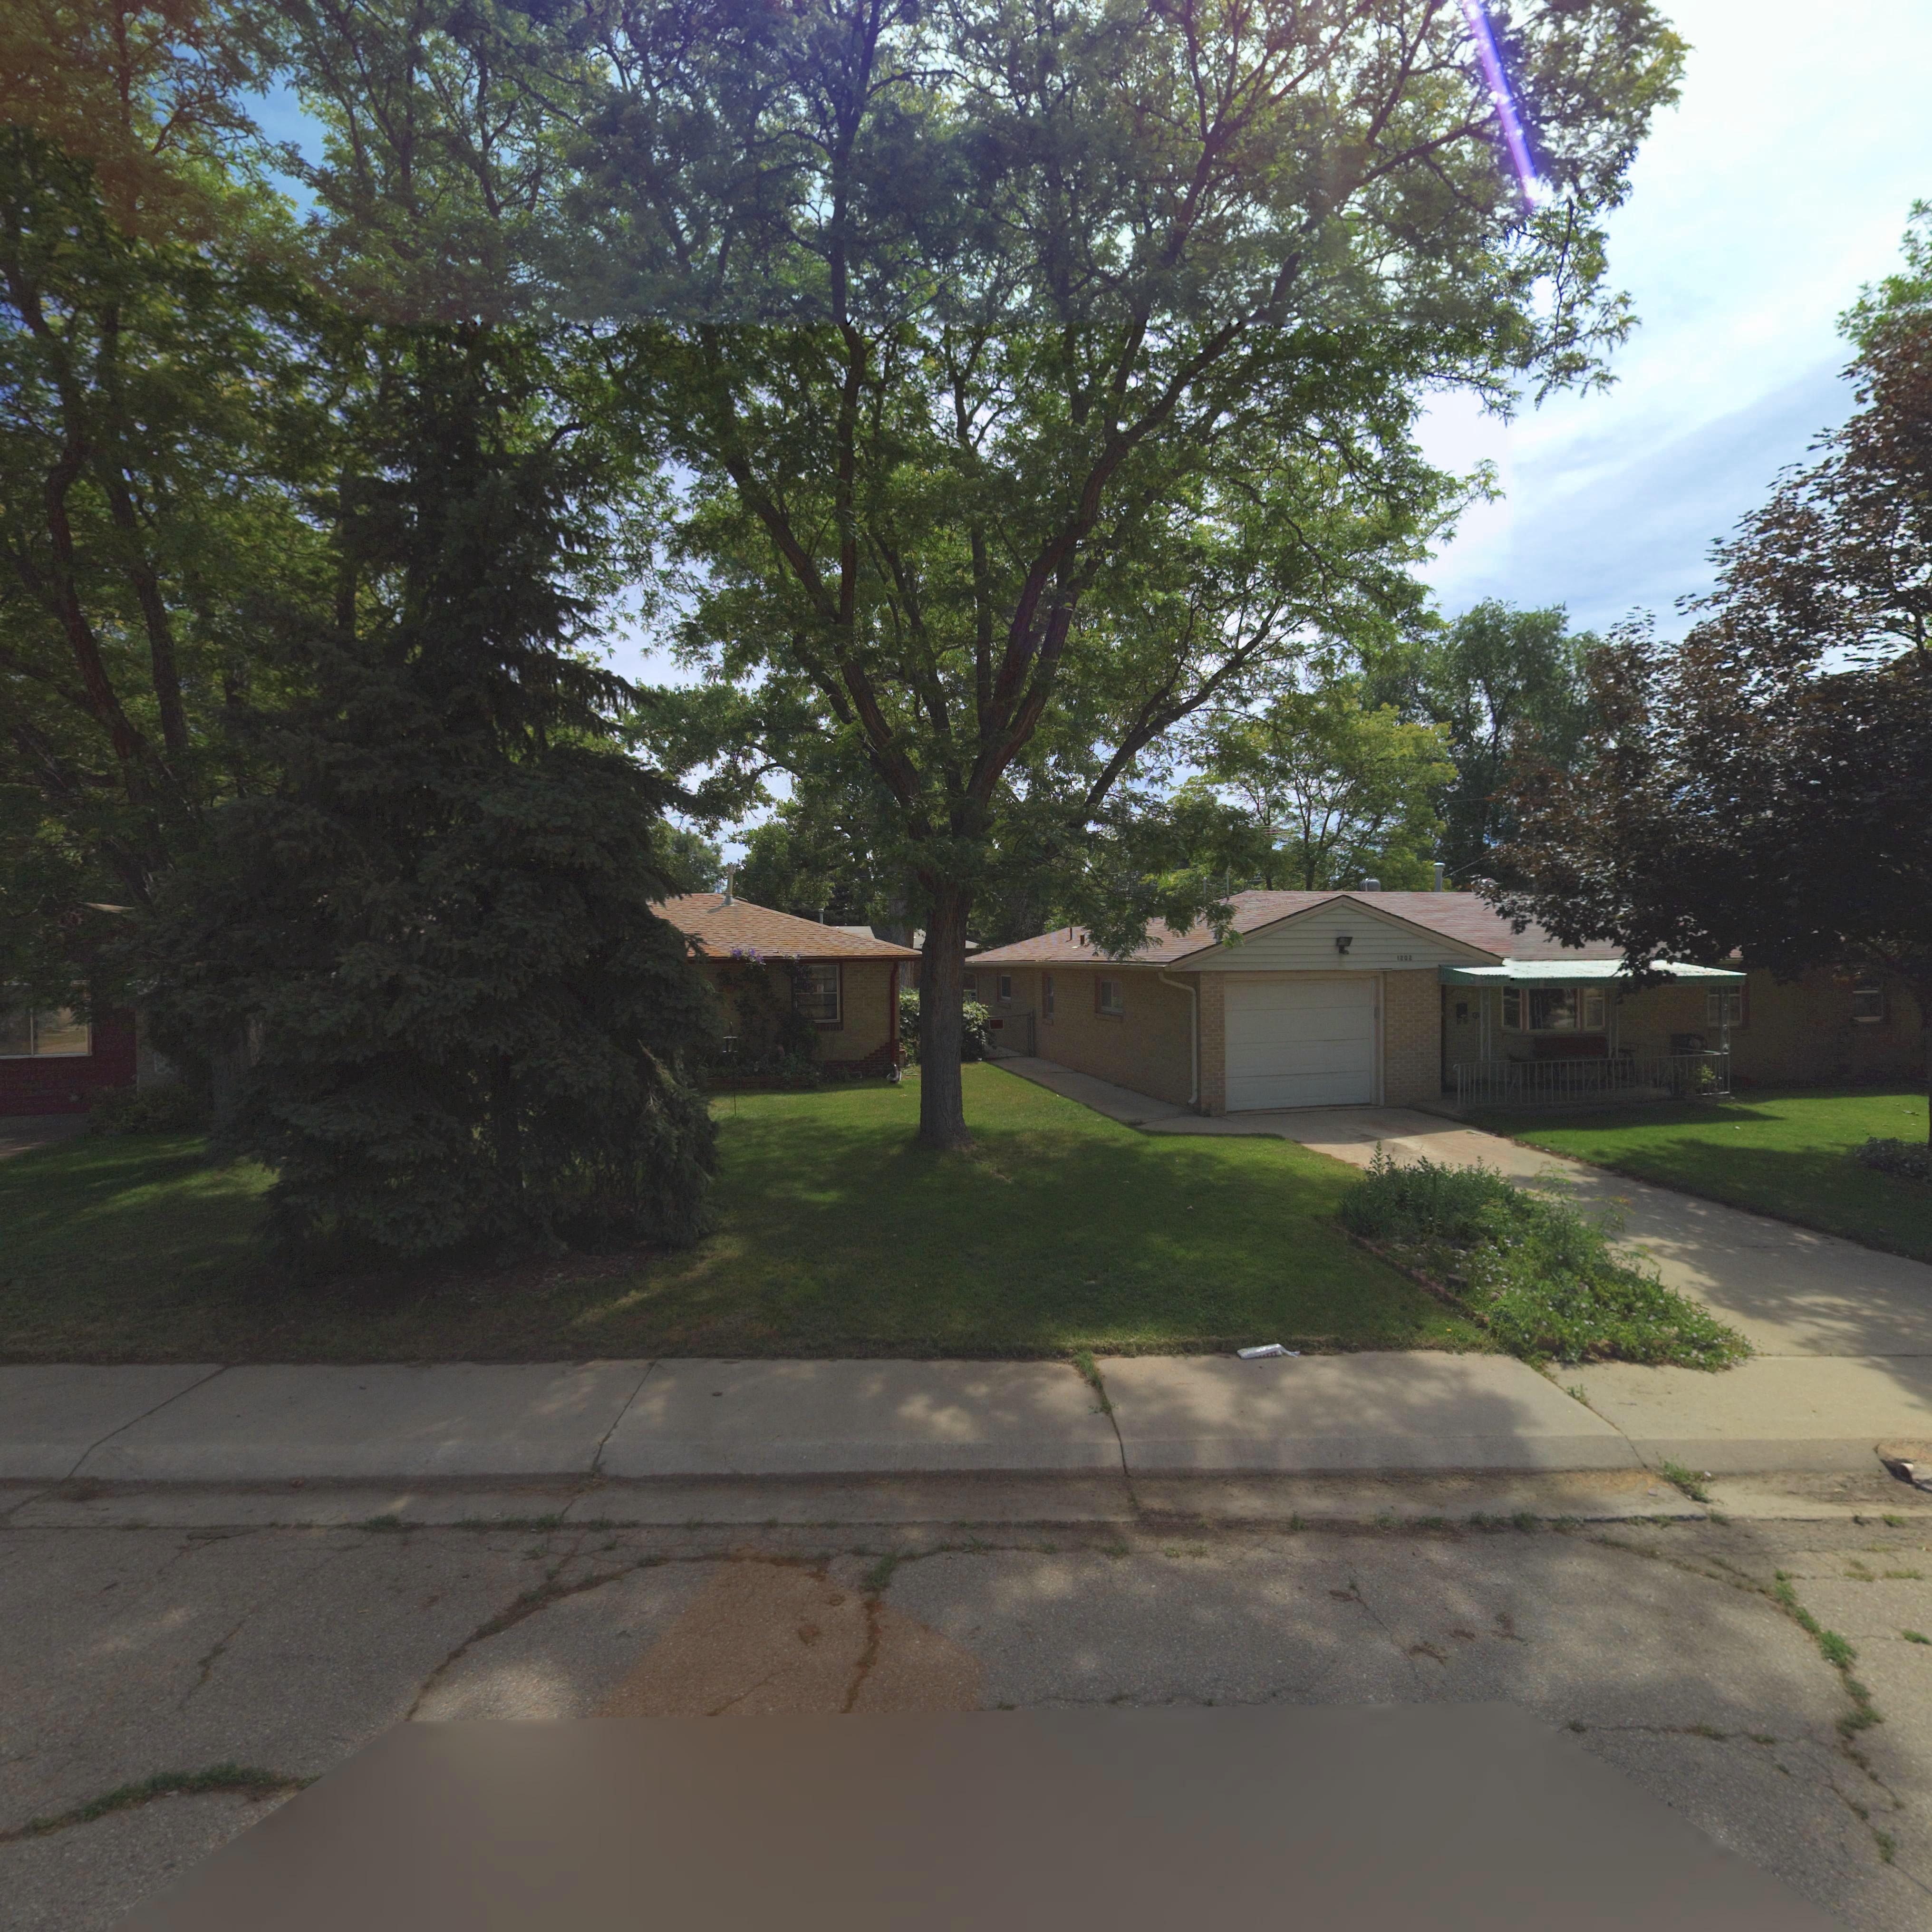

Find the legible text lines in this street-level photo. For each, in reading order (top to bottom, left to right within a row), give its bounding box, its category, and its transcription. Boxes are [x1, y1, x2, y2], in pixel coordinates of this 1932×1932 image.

[1396, 955, 1412, 961] StreetNumber: 1202
[1456, 990, 1468, 997] StreetNumber: 1*02